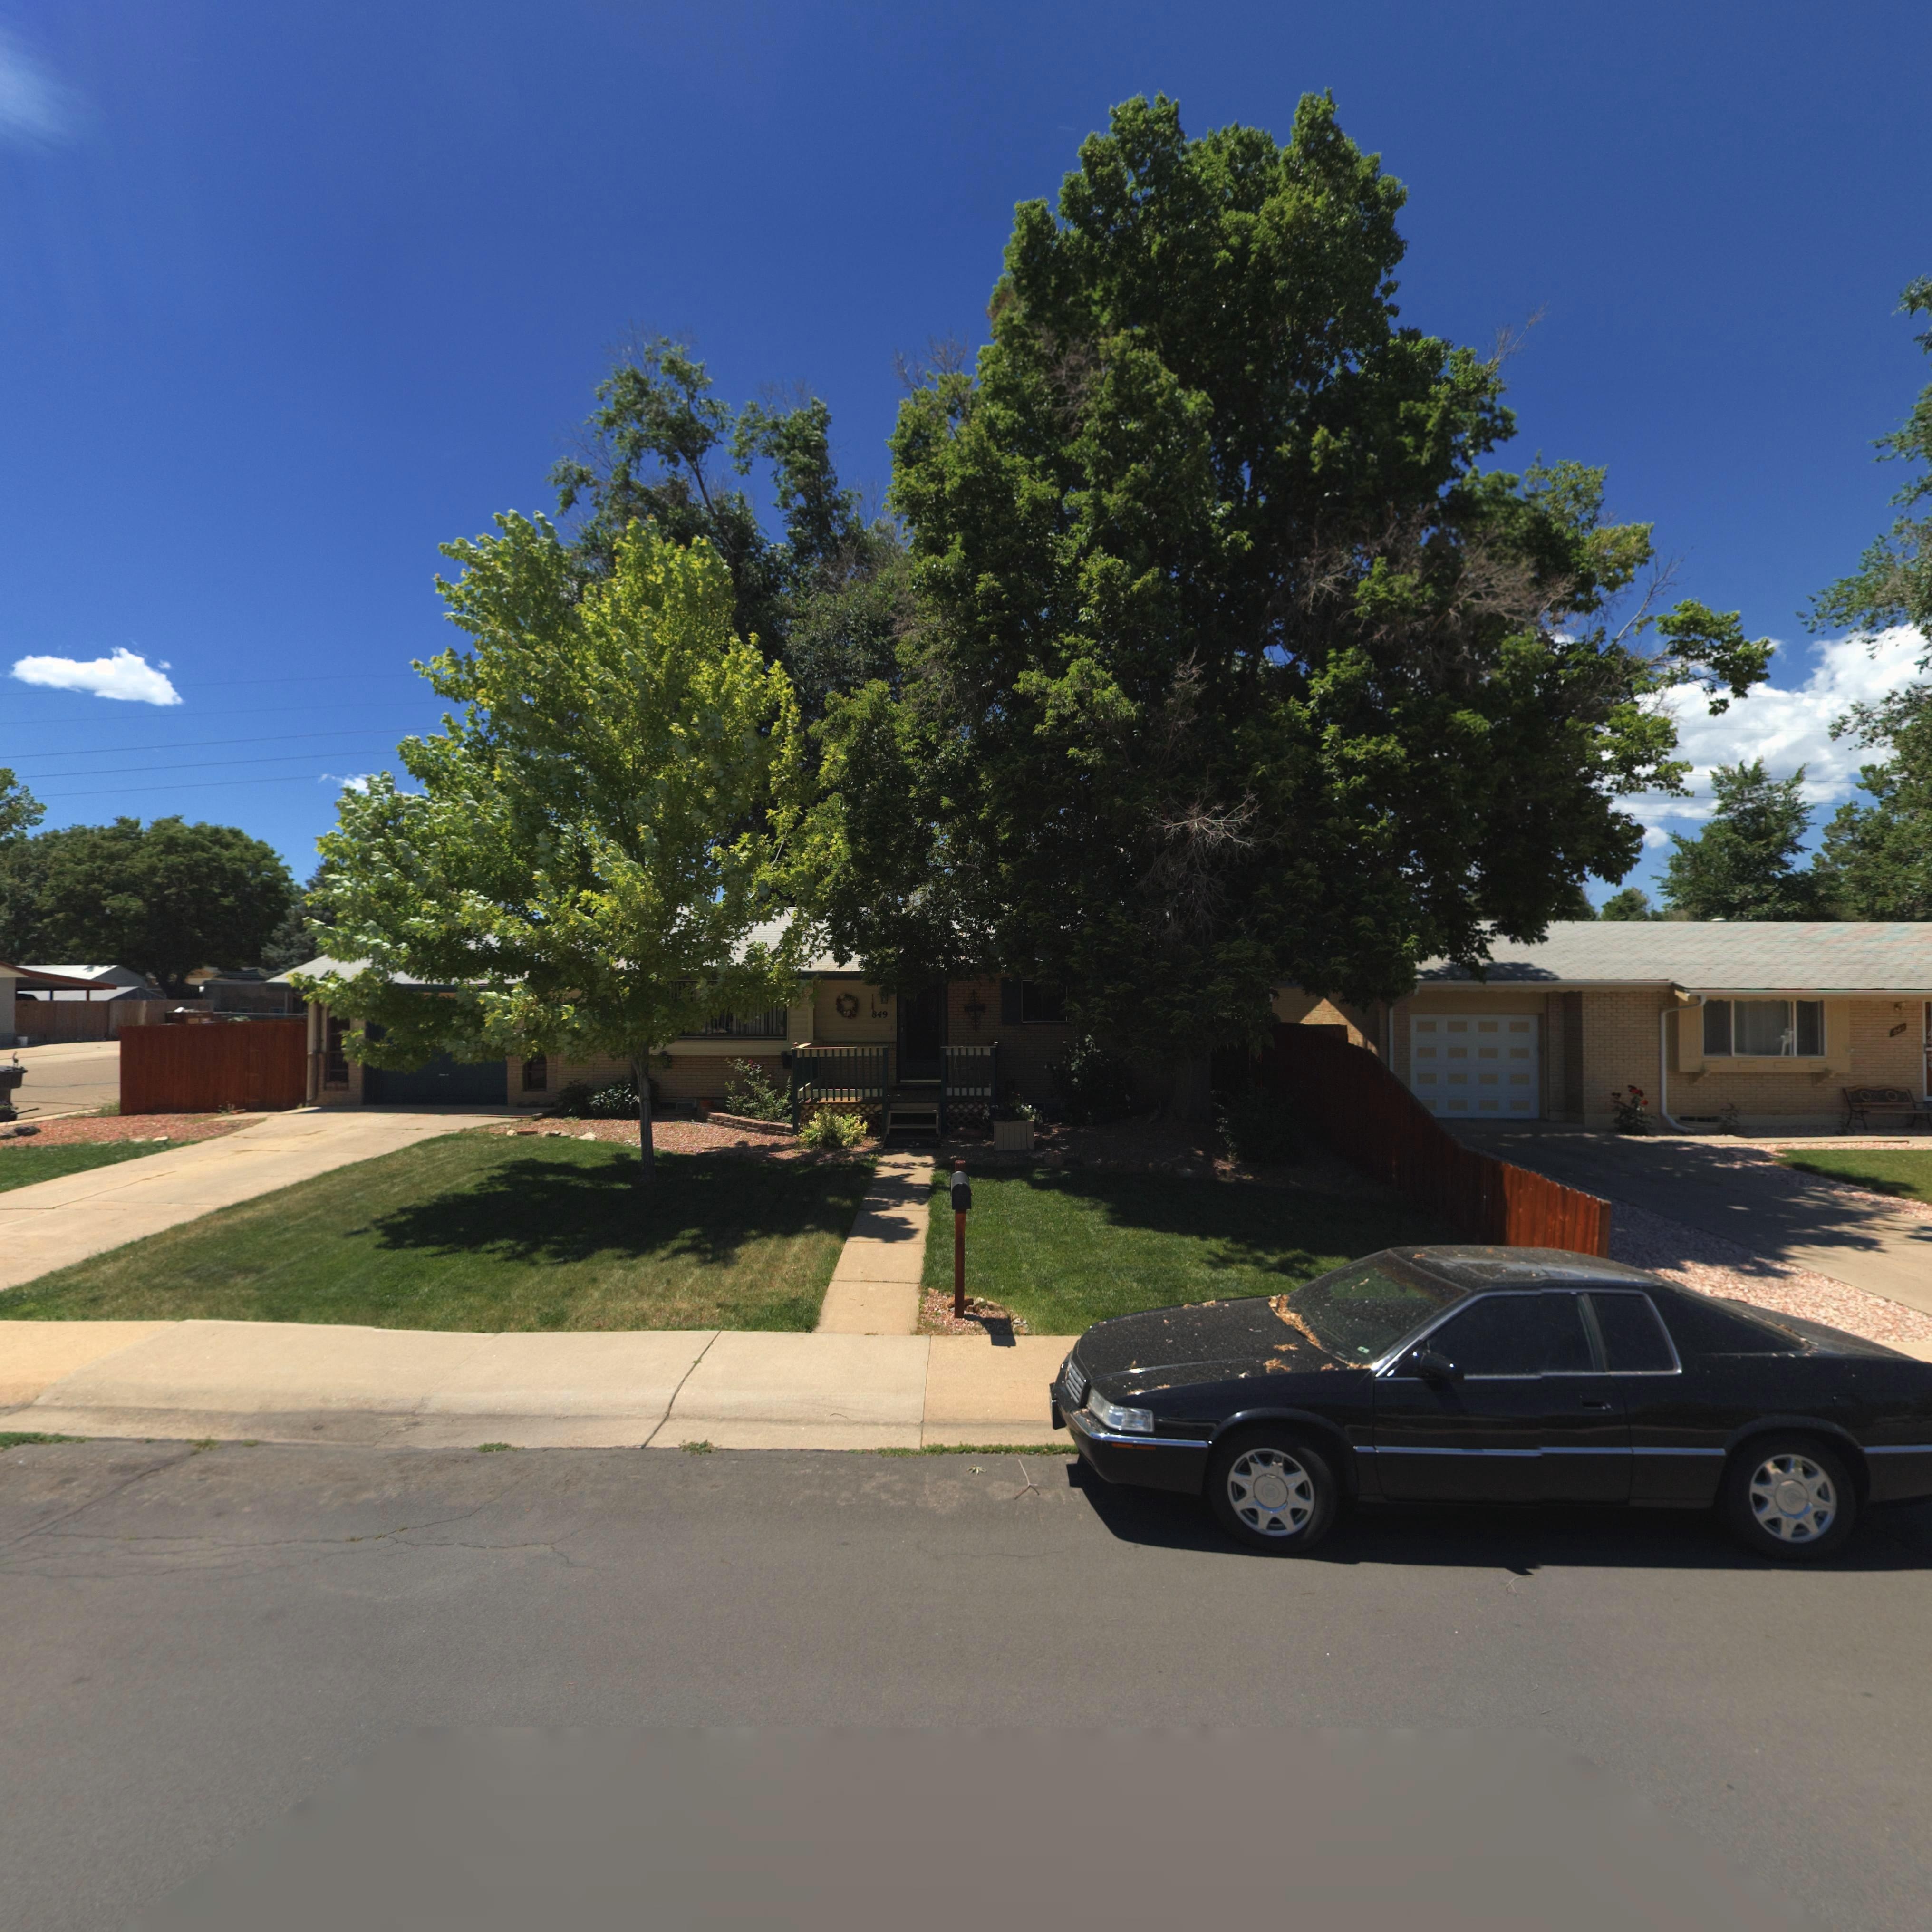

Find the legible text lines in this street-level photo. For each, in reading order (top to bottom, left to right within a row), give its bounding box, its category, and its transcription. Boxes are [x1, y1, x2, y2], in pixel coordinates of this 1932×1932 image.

[871, 1010, 888, 1018] StreetNumber: 849
[1892, 1025, 1905, 1034] StreetNumber: 8**